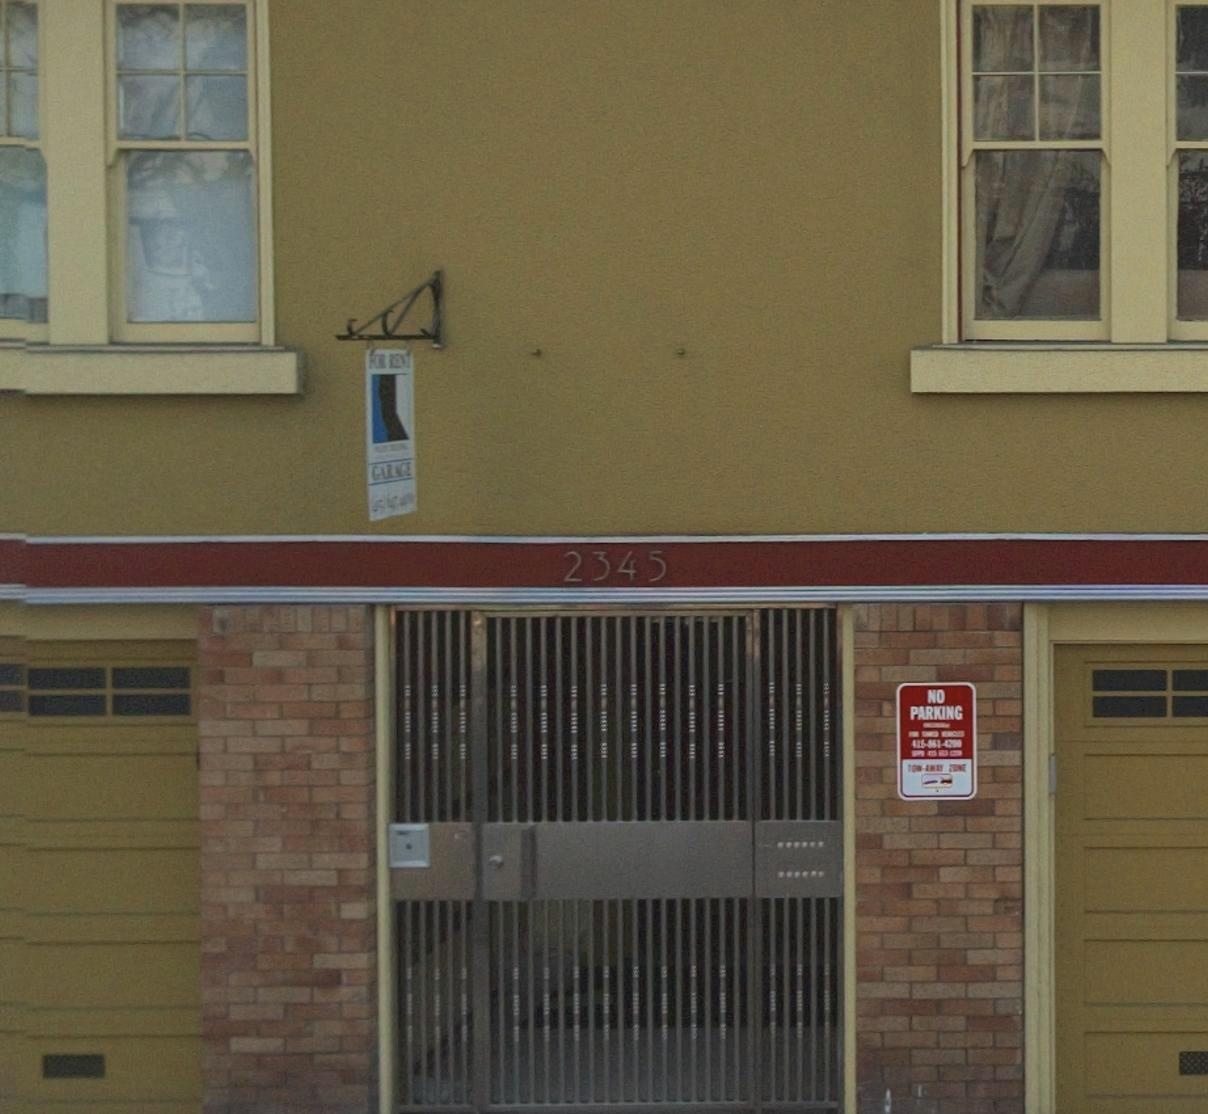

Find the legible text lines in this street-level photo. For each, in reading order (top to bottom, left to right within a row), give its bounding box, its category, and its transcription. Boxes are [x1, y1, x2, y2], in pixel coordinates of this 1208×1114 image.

[561, 548, 668, 585] StreetNumber: 2345
[924, 687, 948, 705] None: NO
[908, 702, 965, 723] None: PARKING